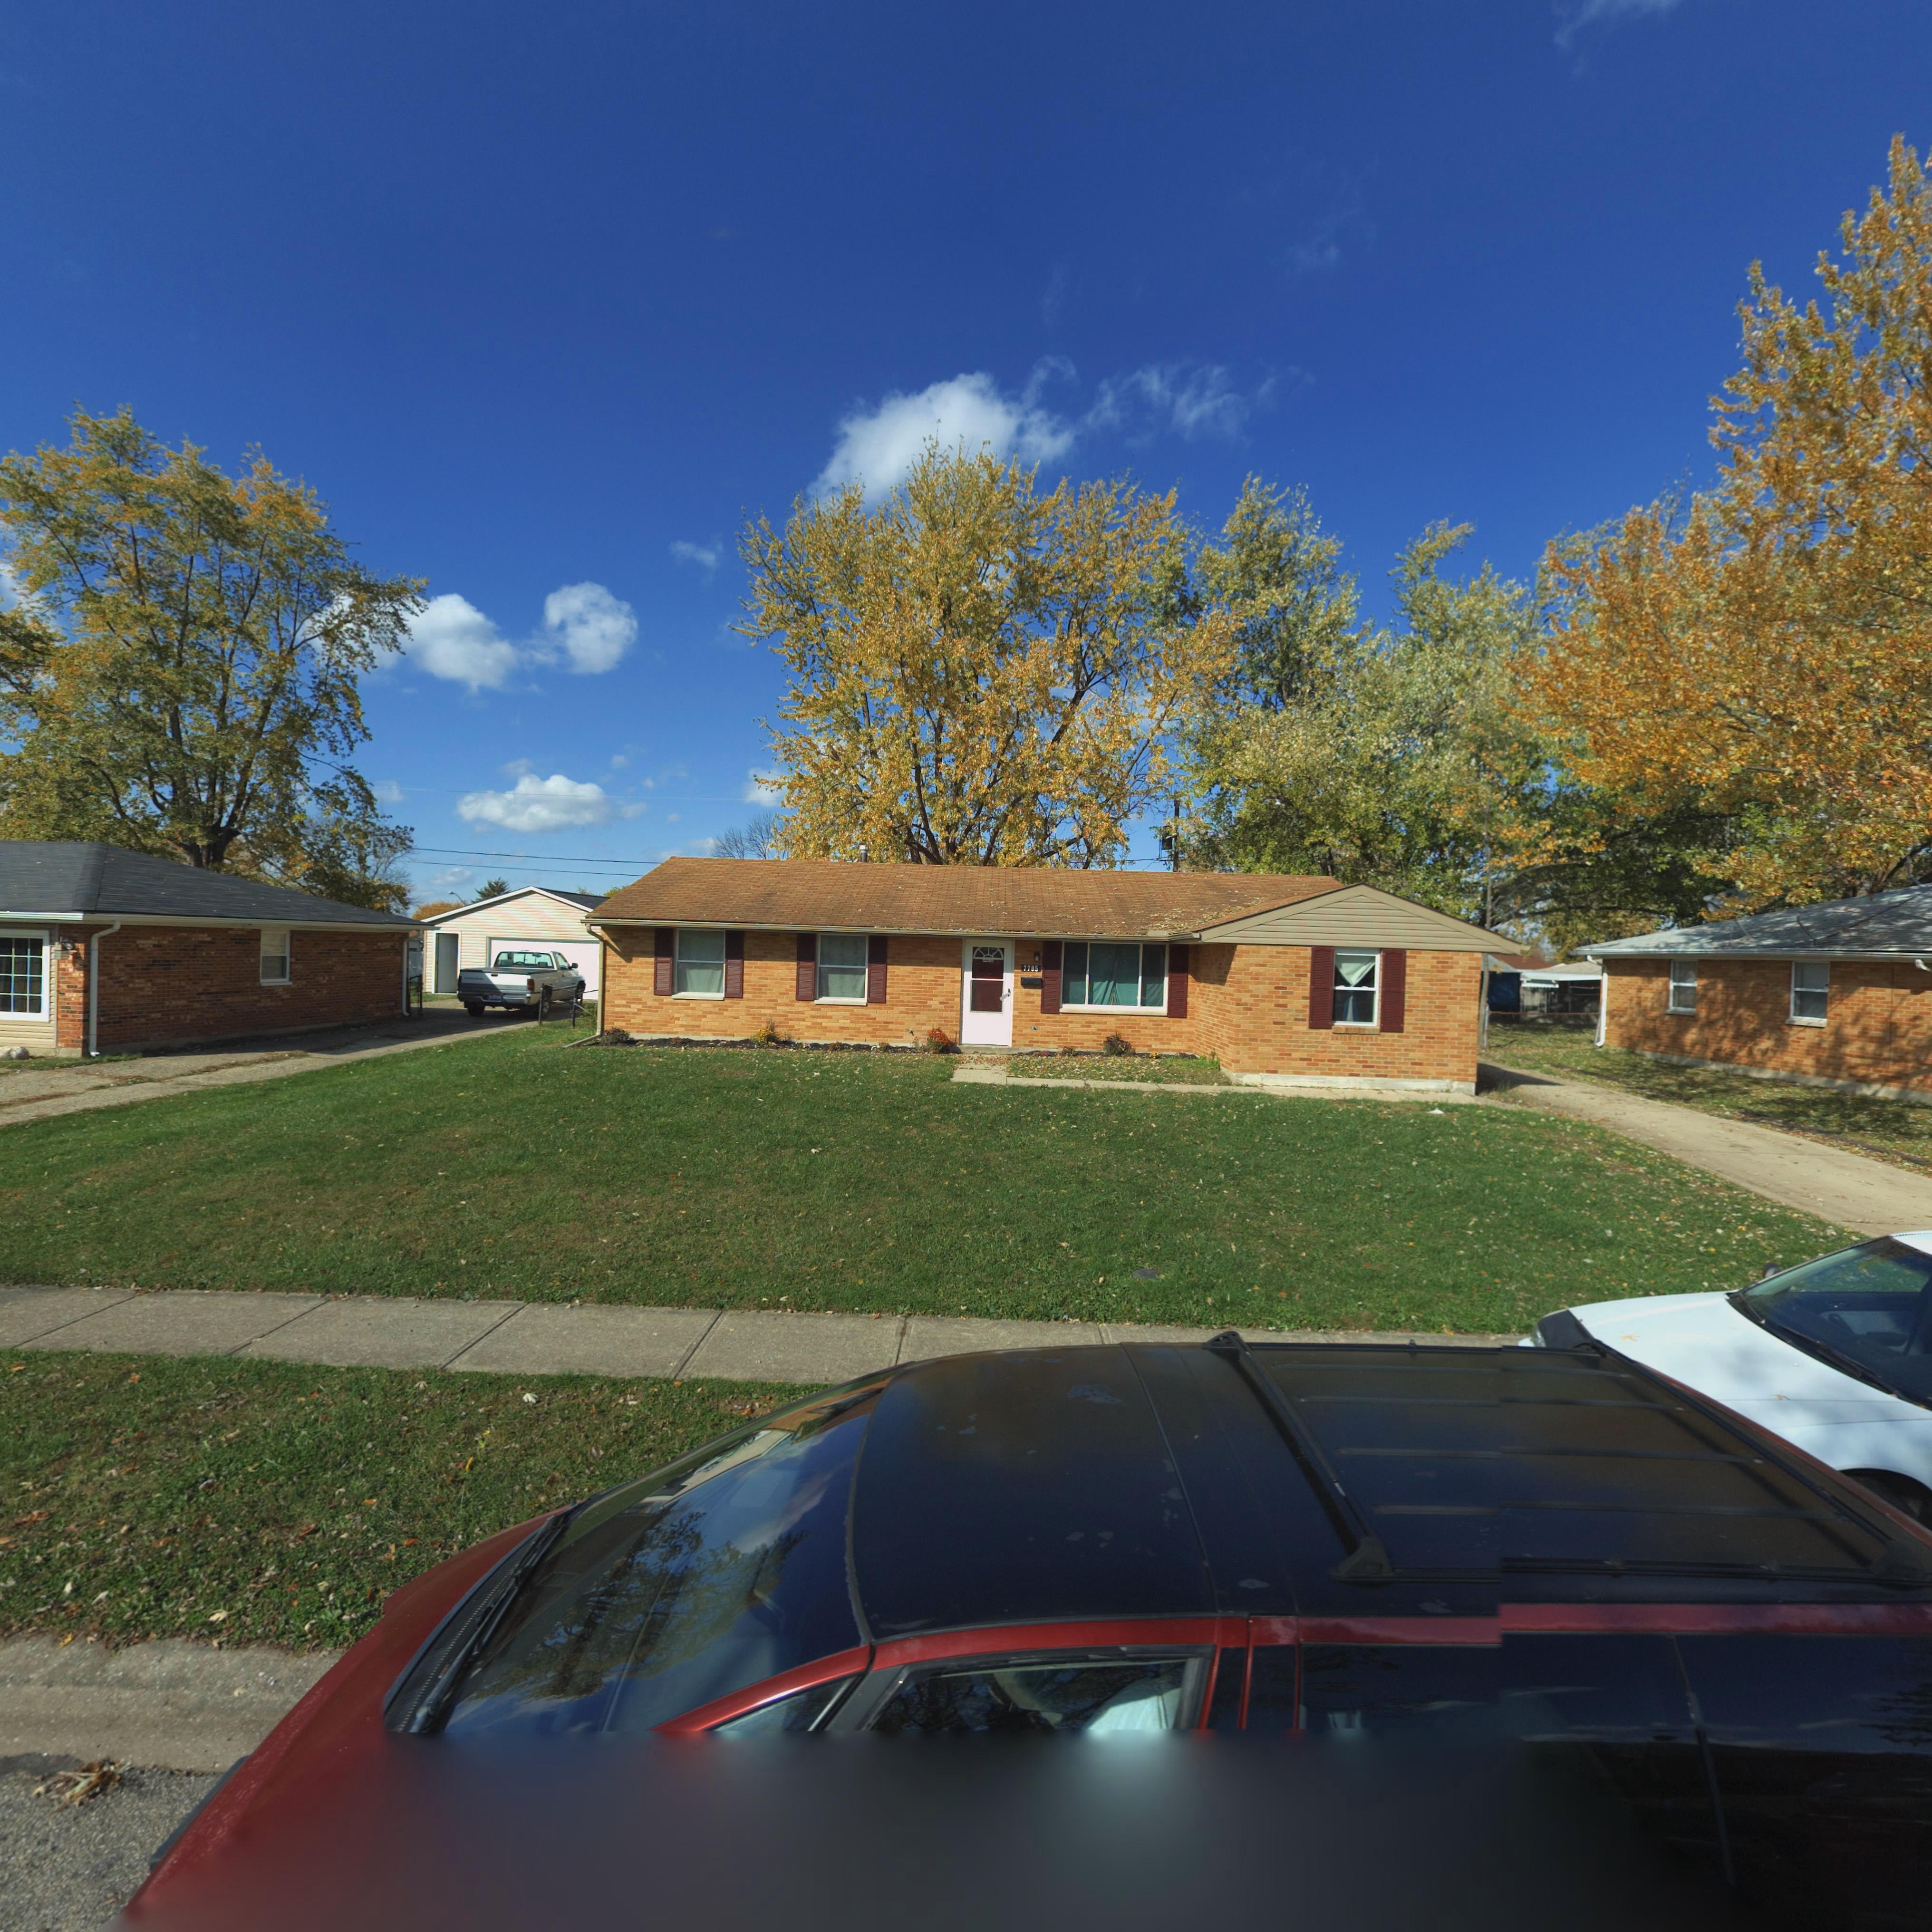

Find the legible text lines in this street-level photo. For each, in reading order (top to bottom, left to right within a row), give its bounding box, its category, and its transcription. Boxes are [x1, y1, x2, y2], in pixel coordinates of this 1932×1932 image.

[1023, 965, 1039, 972] StreetNumber: 7785